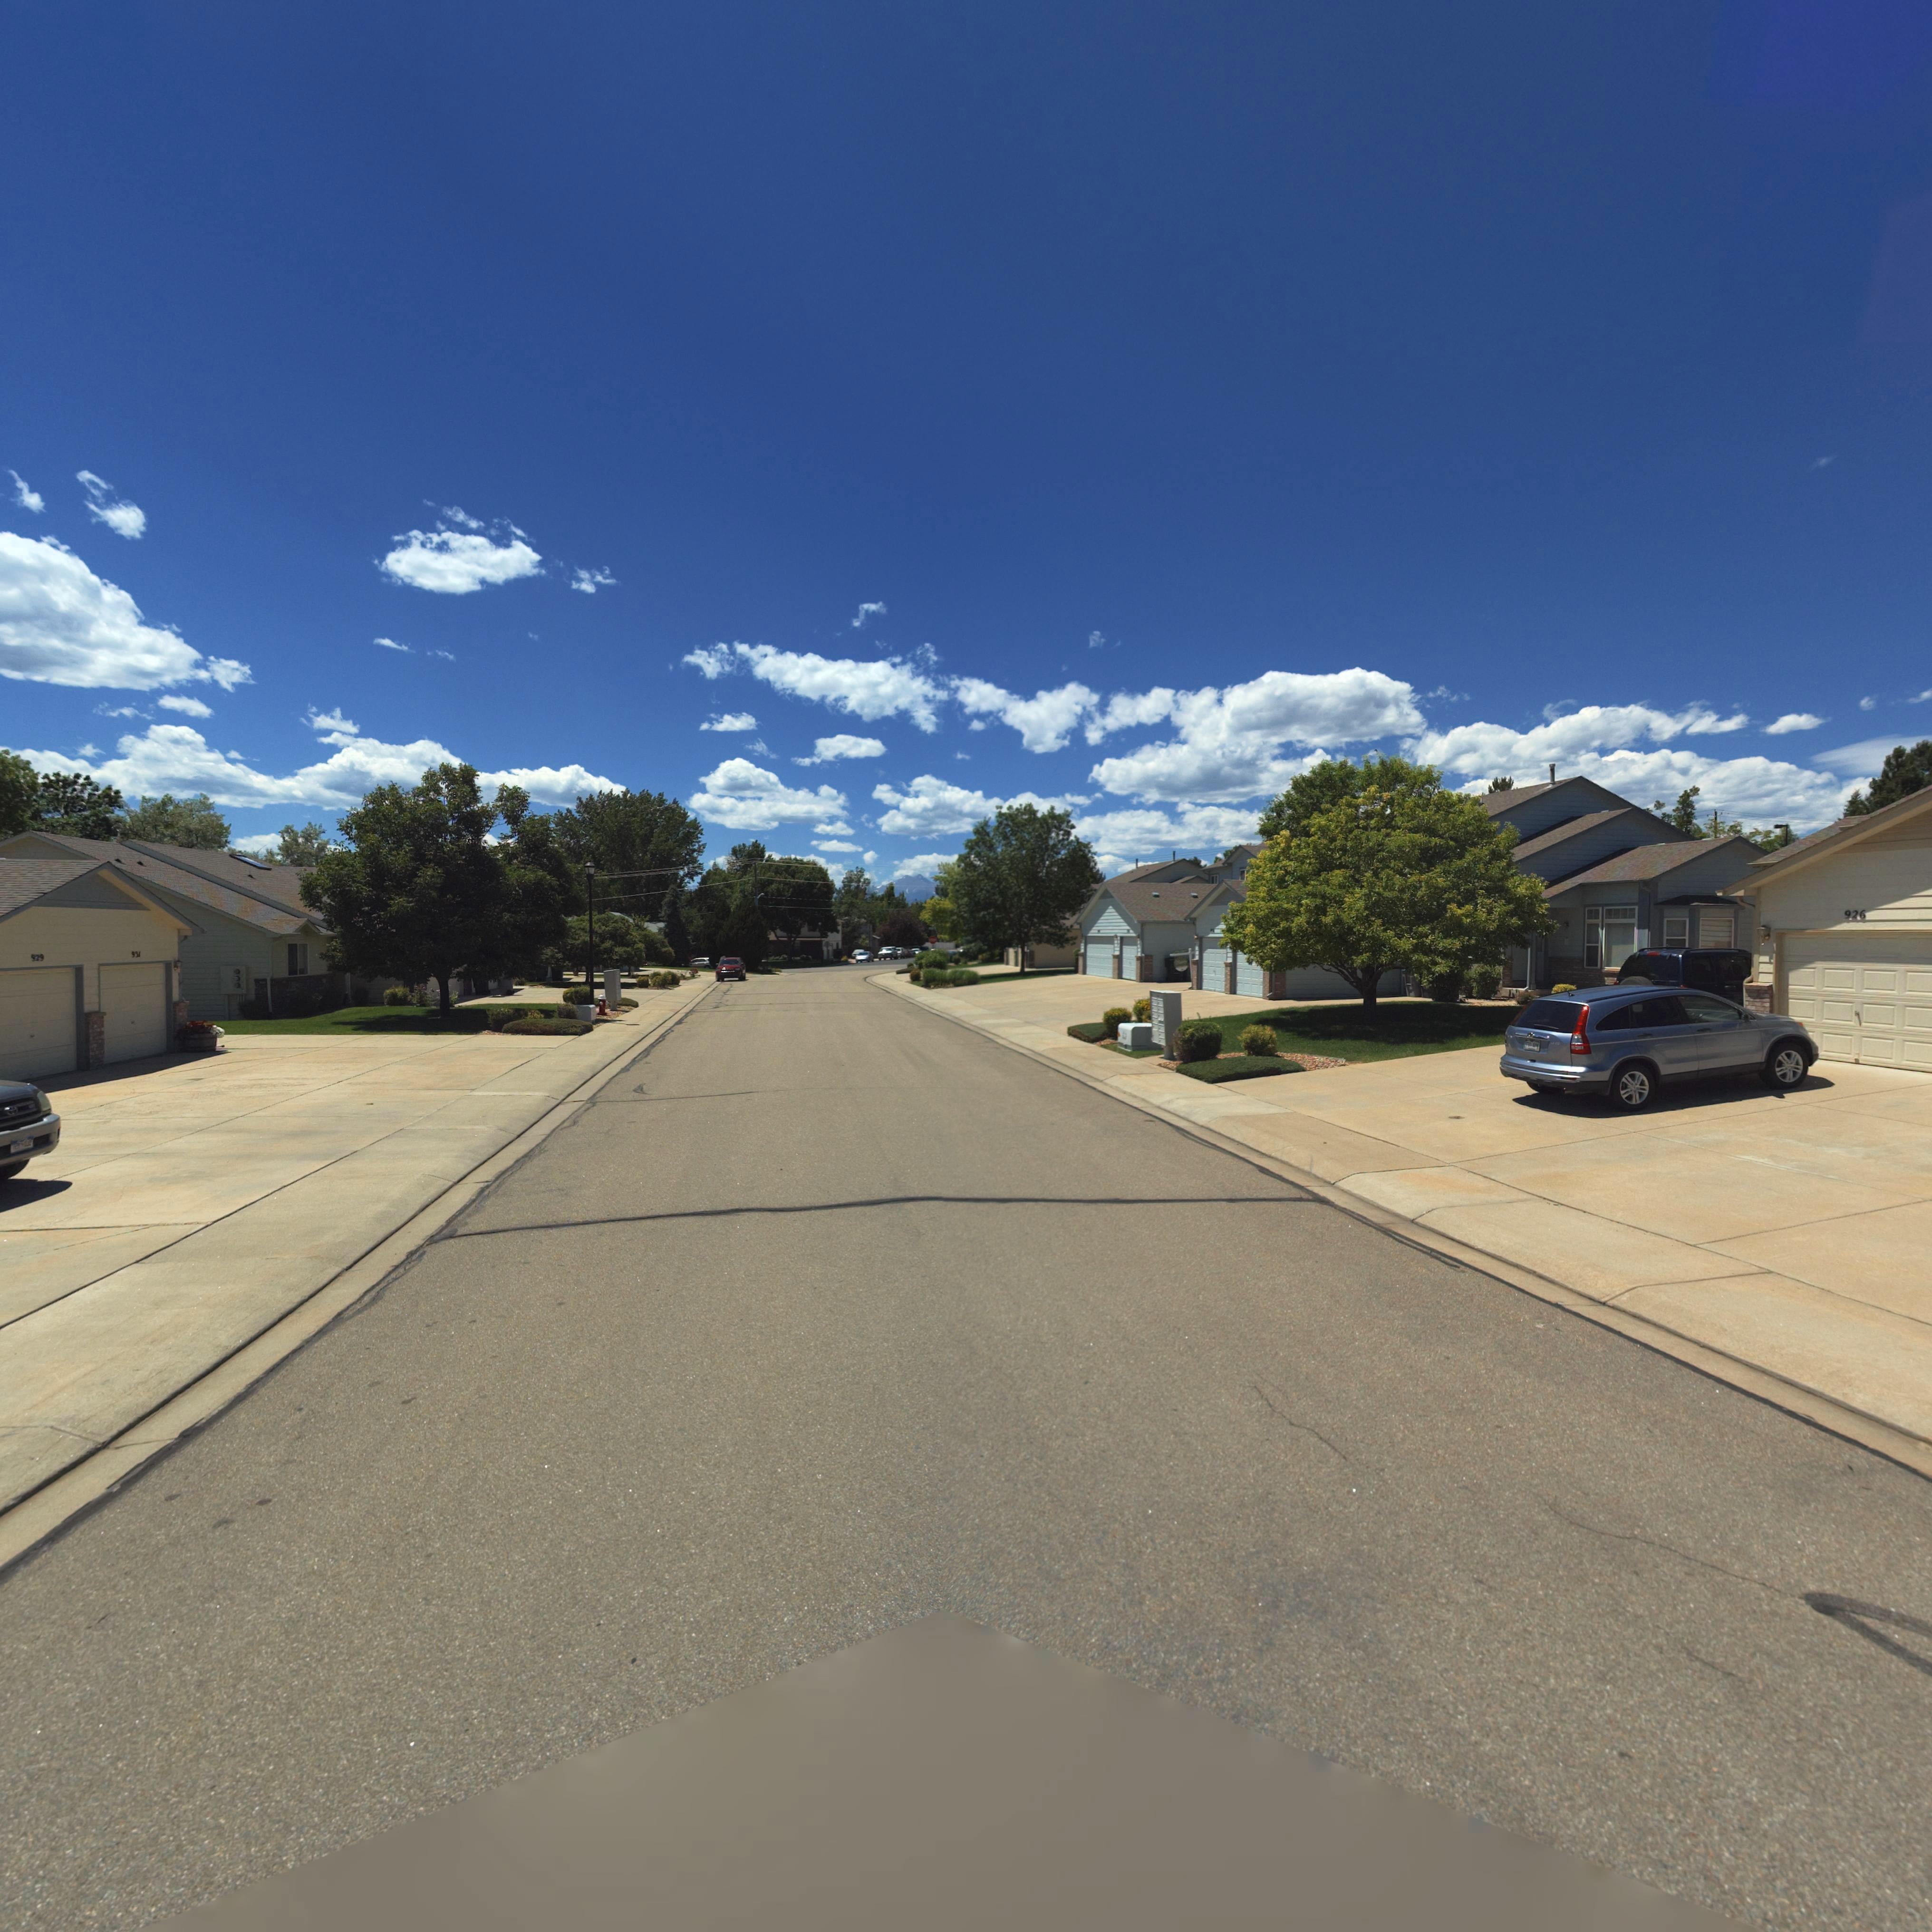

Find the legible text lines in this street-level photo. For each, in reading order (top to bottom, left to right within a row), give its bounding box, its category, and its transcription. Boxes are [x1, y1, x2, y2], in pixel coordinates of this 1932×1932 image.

[1844, 909, 1866, 919] StreetNumber: 926
[30, 953, 44, 962] StreetNumber: 929
[131, 950, 141, 958] StreetNumber: 931